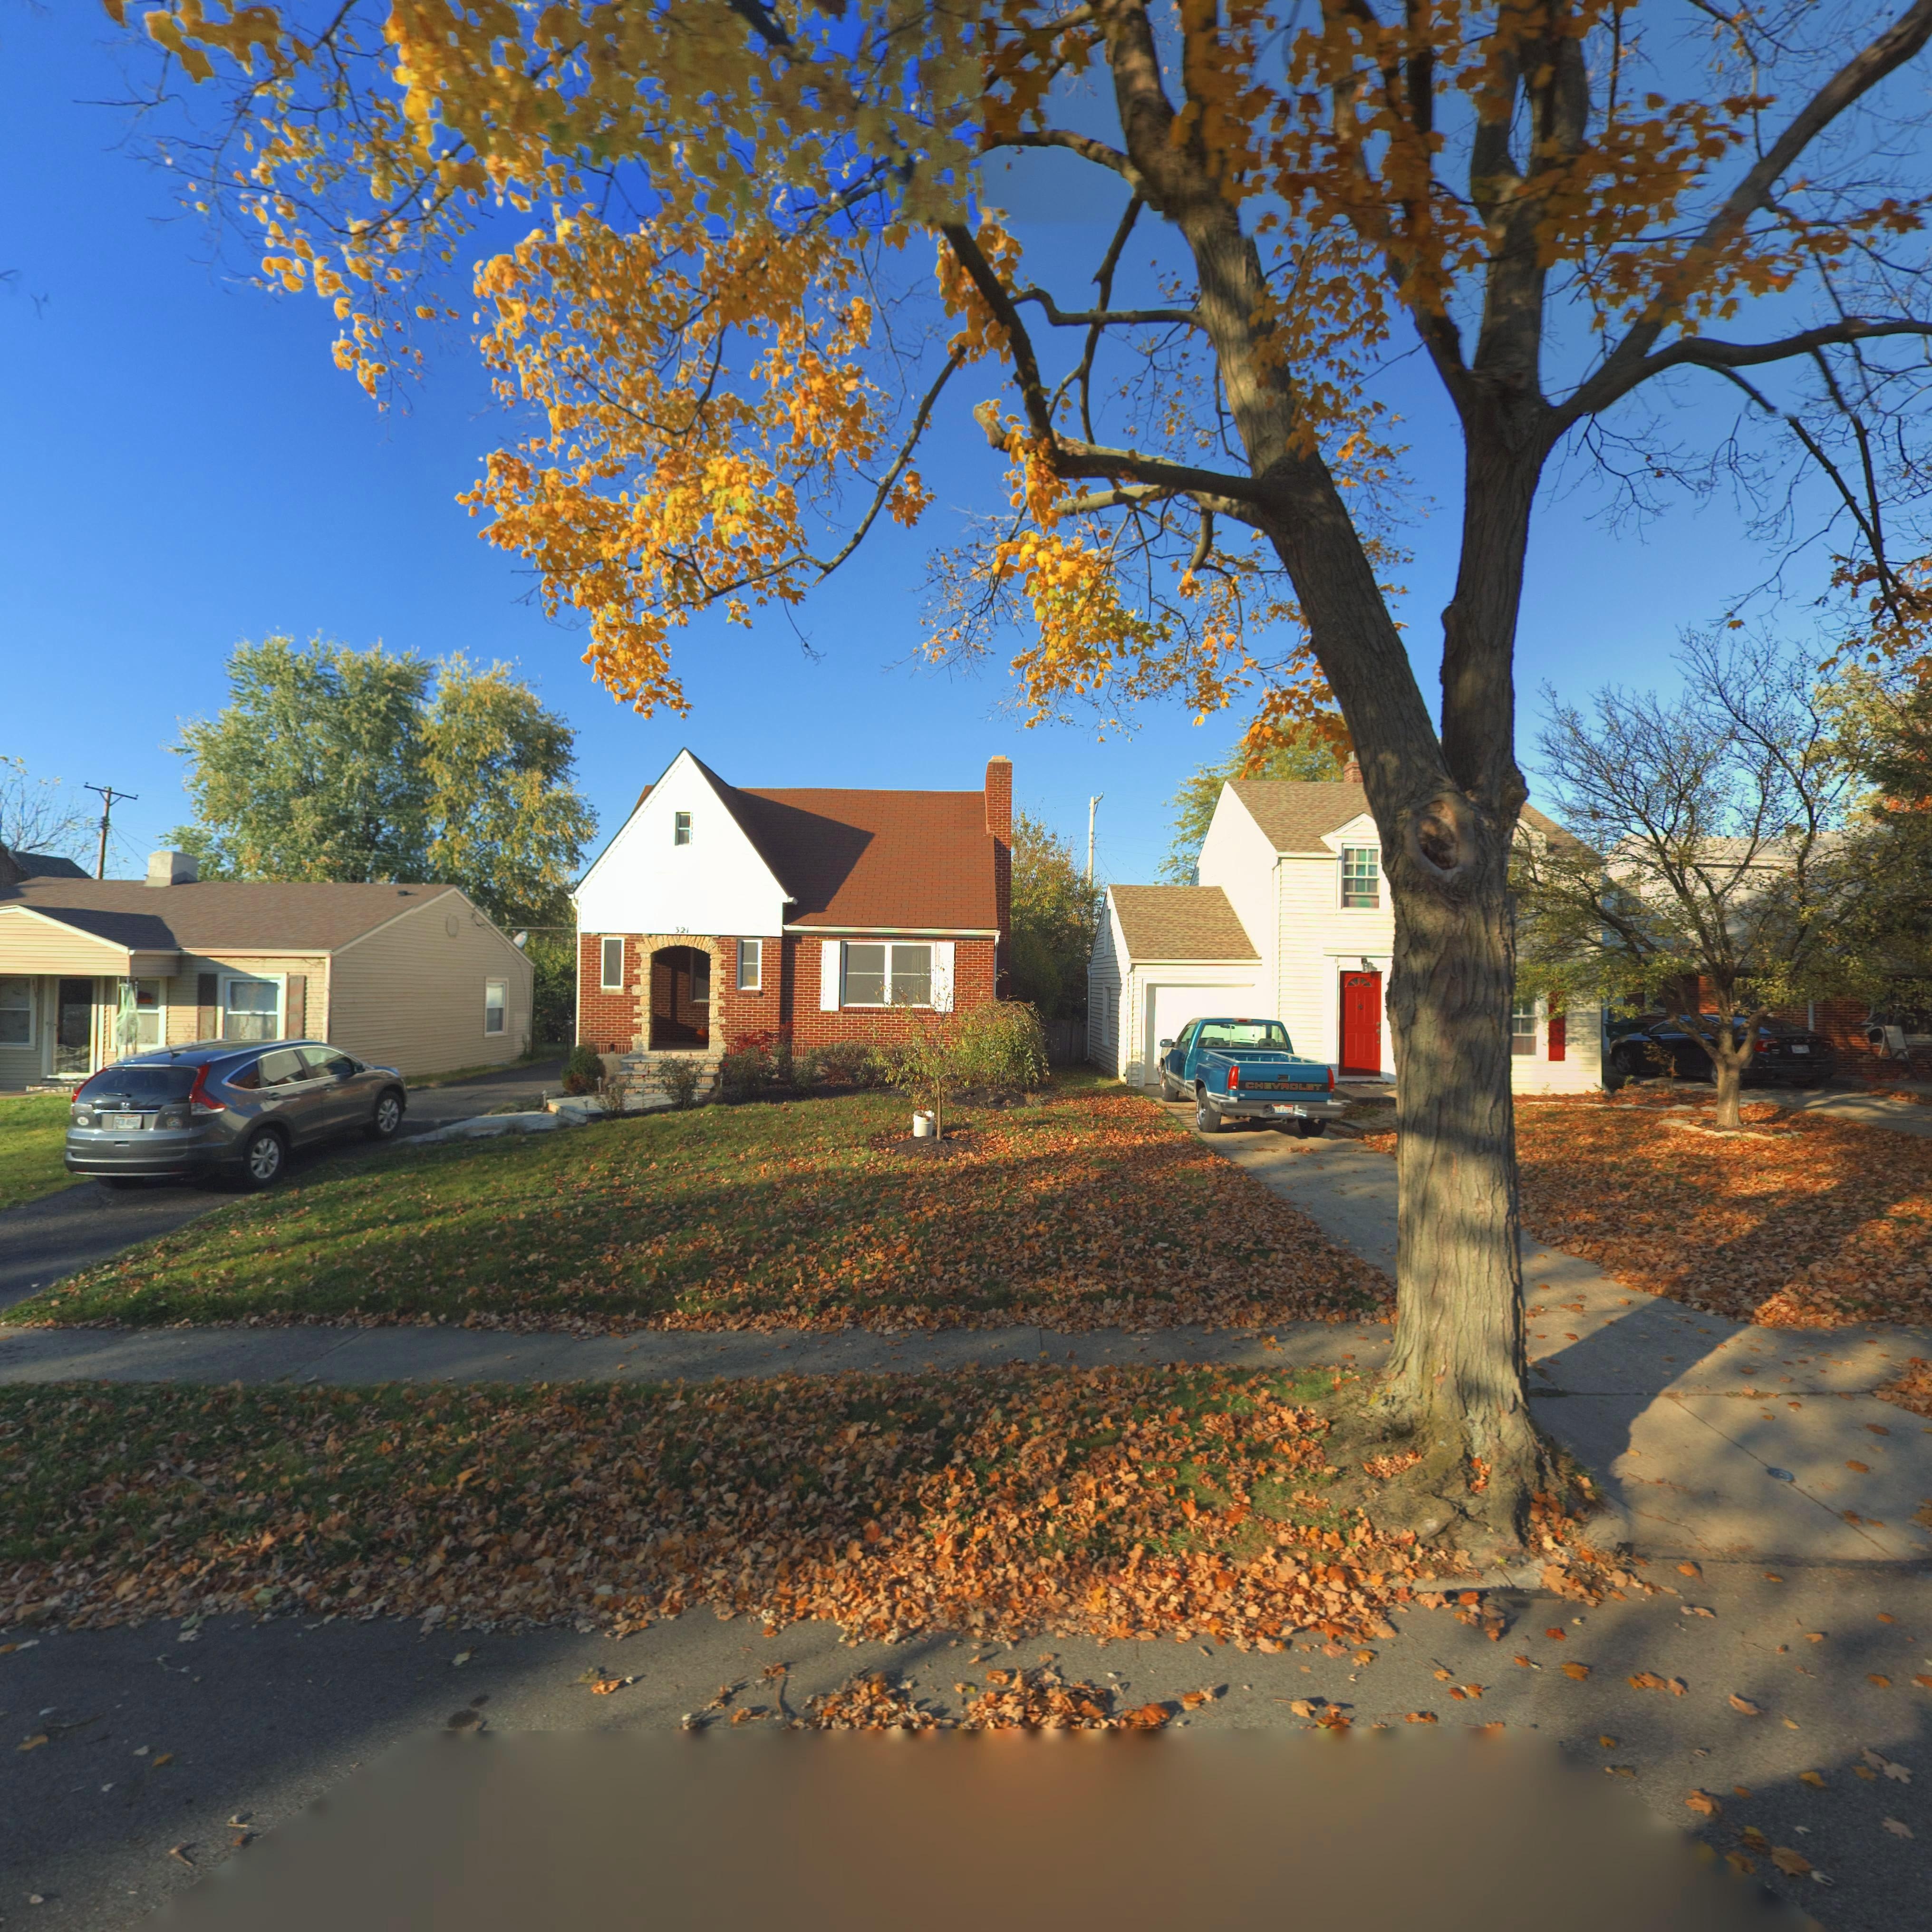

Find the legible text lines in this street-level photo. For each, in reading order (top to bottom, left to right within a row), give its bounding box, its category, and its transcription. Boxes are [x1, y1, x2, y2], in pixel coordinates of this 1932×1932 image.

[673, 925, 691, 935] StreetNumber: 321